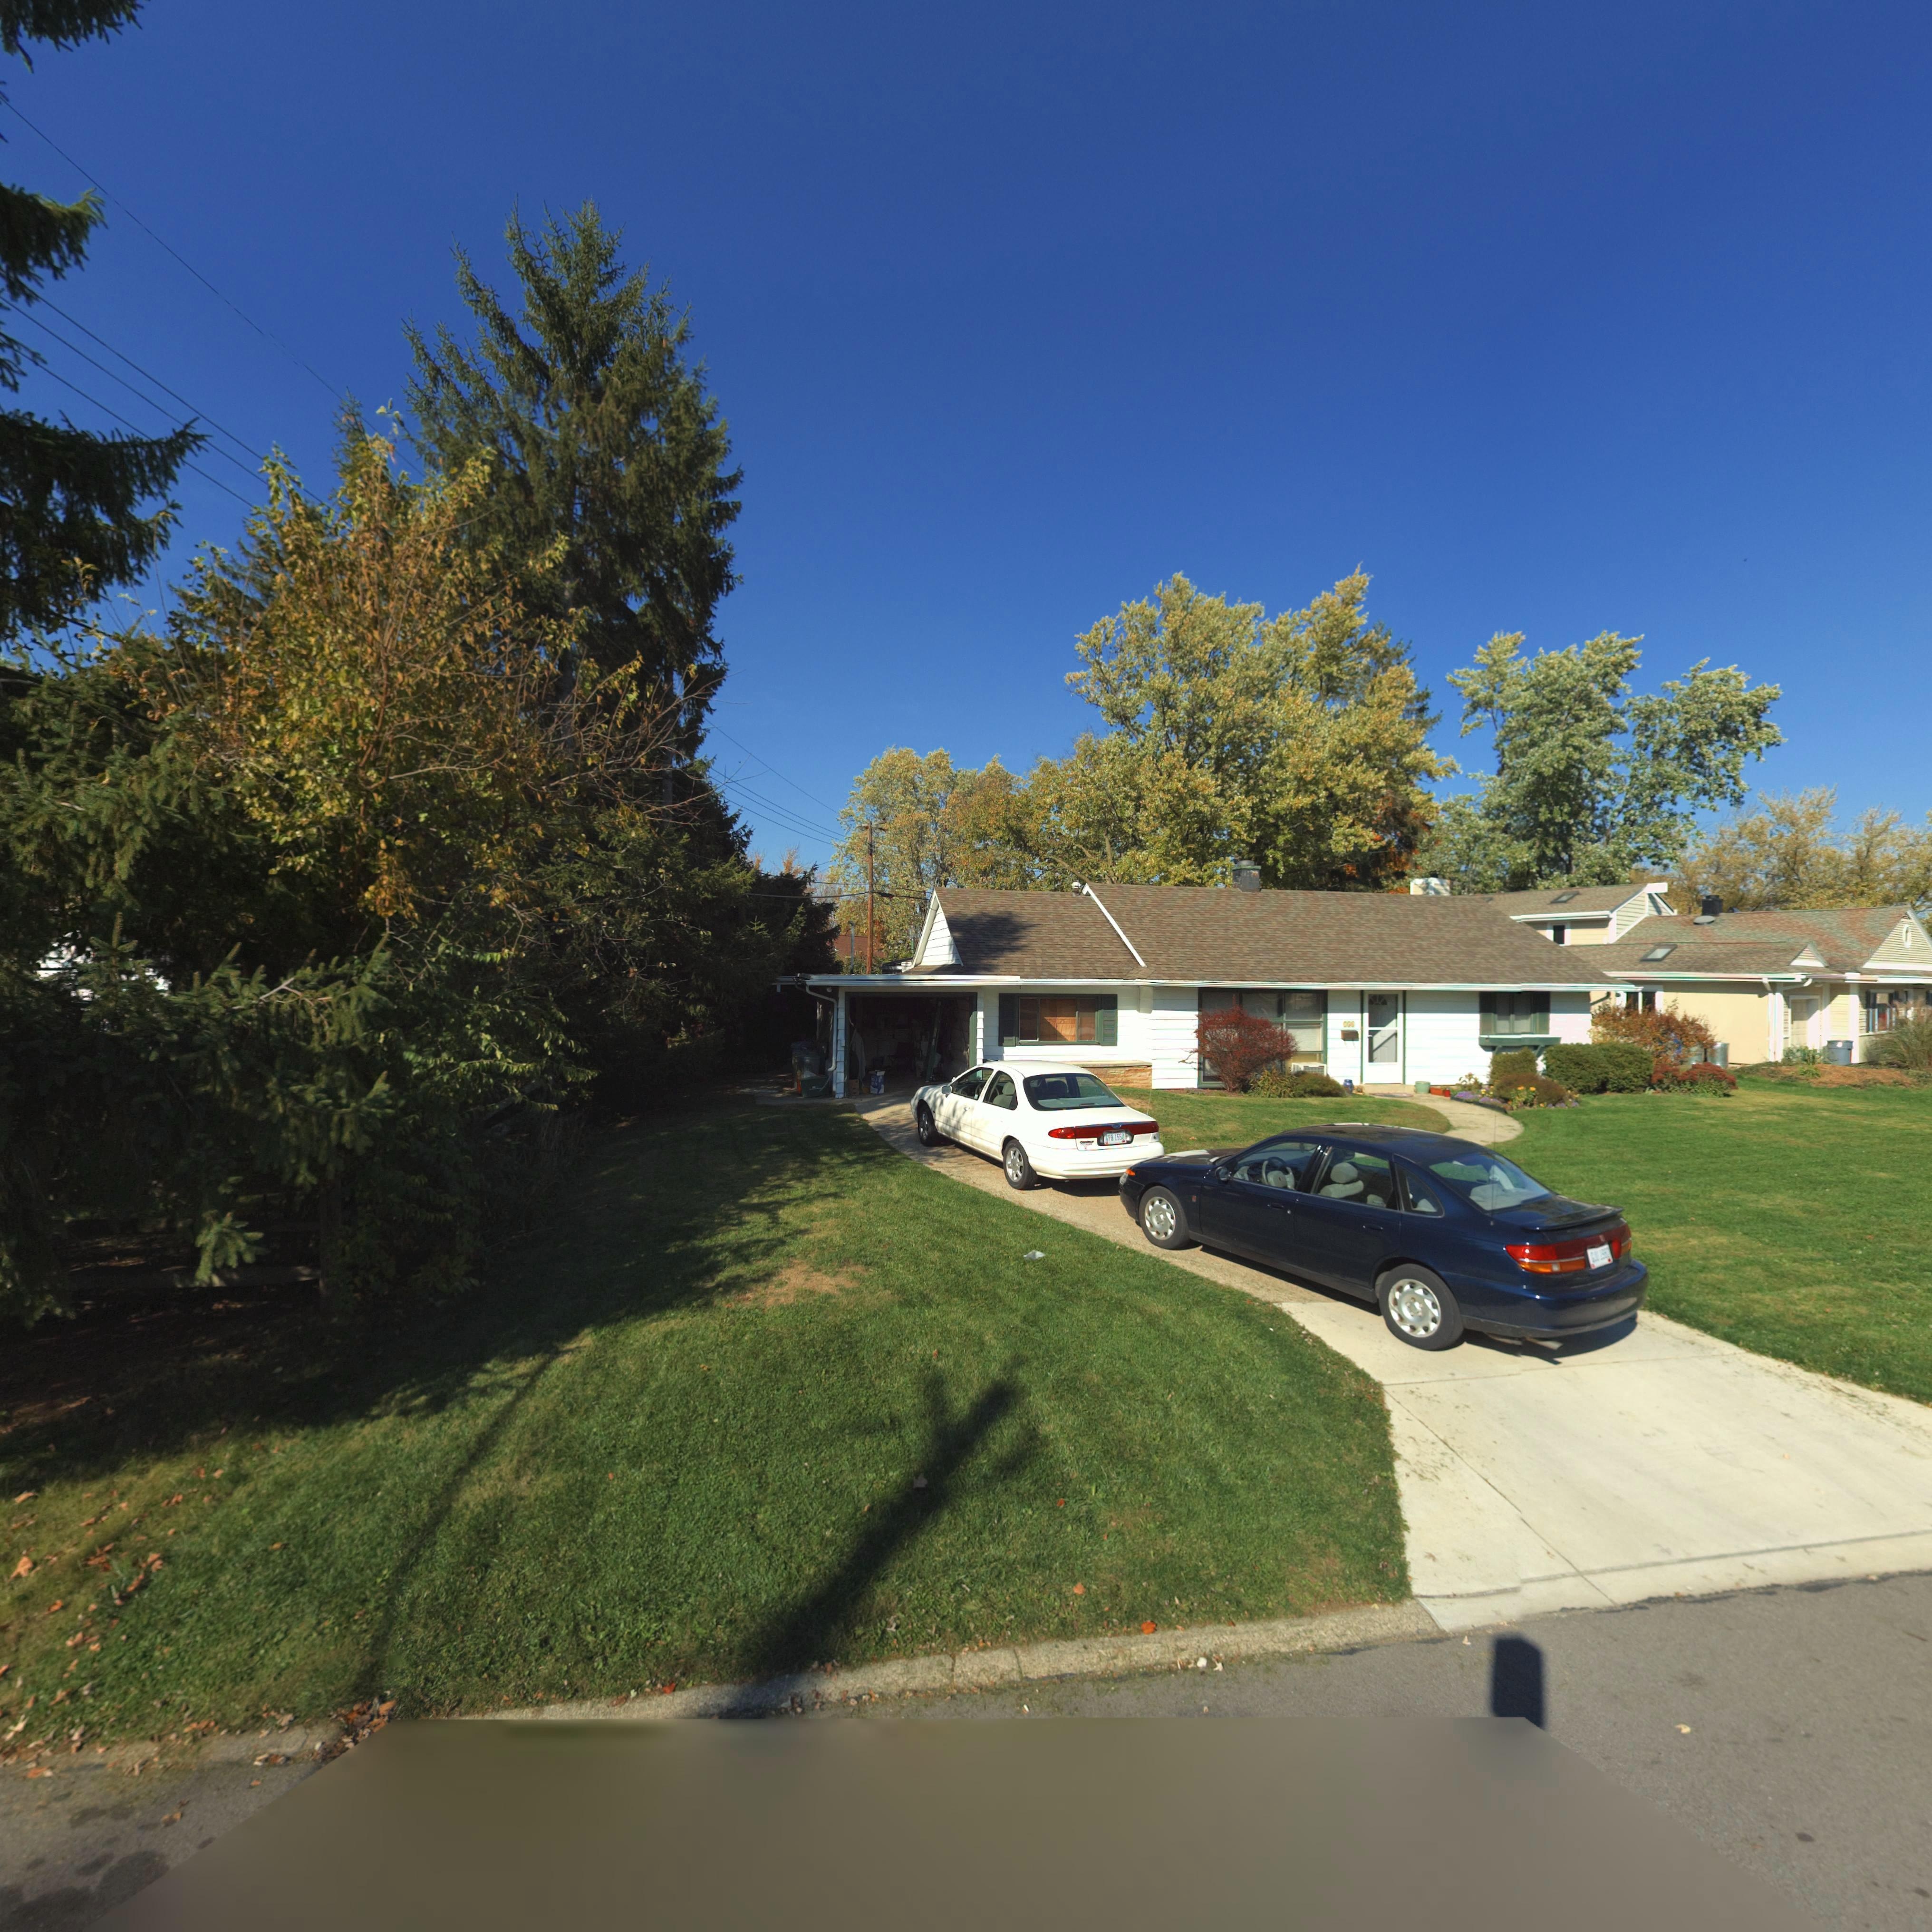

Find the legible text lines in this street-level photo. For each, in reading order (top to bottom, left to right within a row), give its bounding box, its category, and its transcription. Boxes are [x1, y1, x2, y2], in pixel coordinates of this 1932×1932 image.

[1104, 1131, 1126, 1142] None: *TB 1550